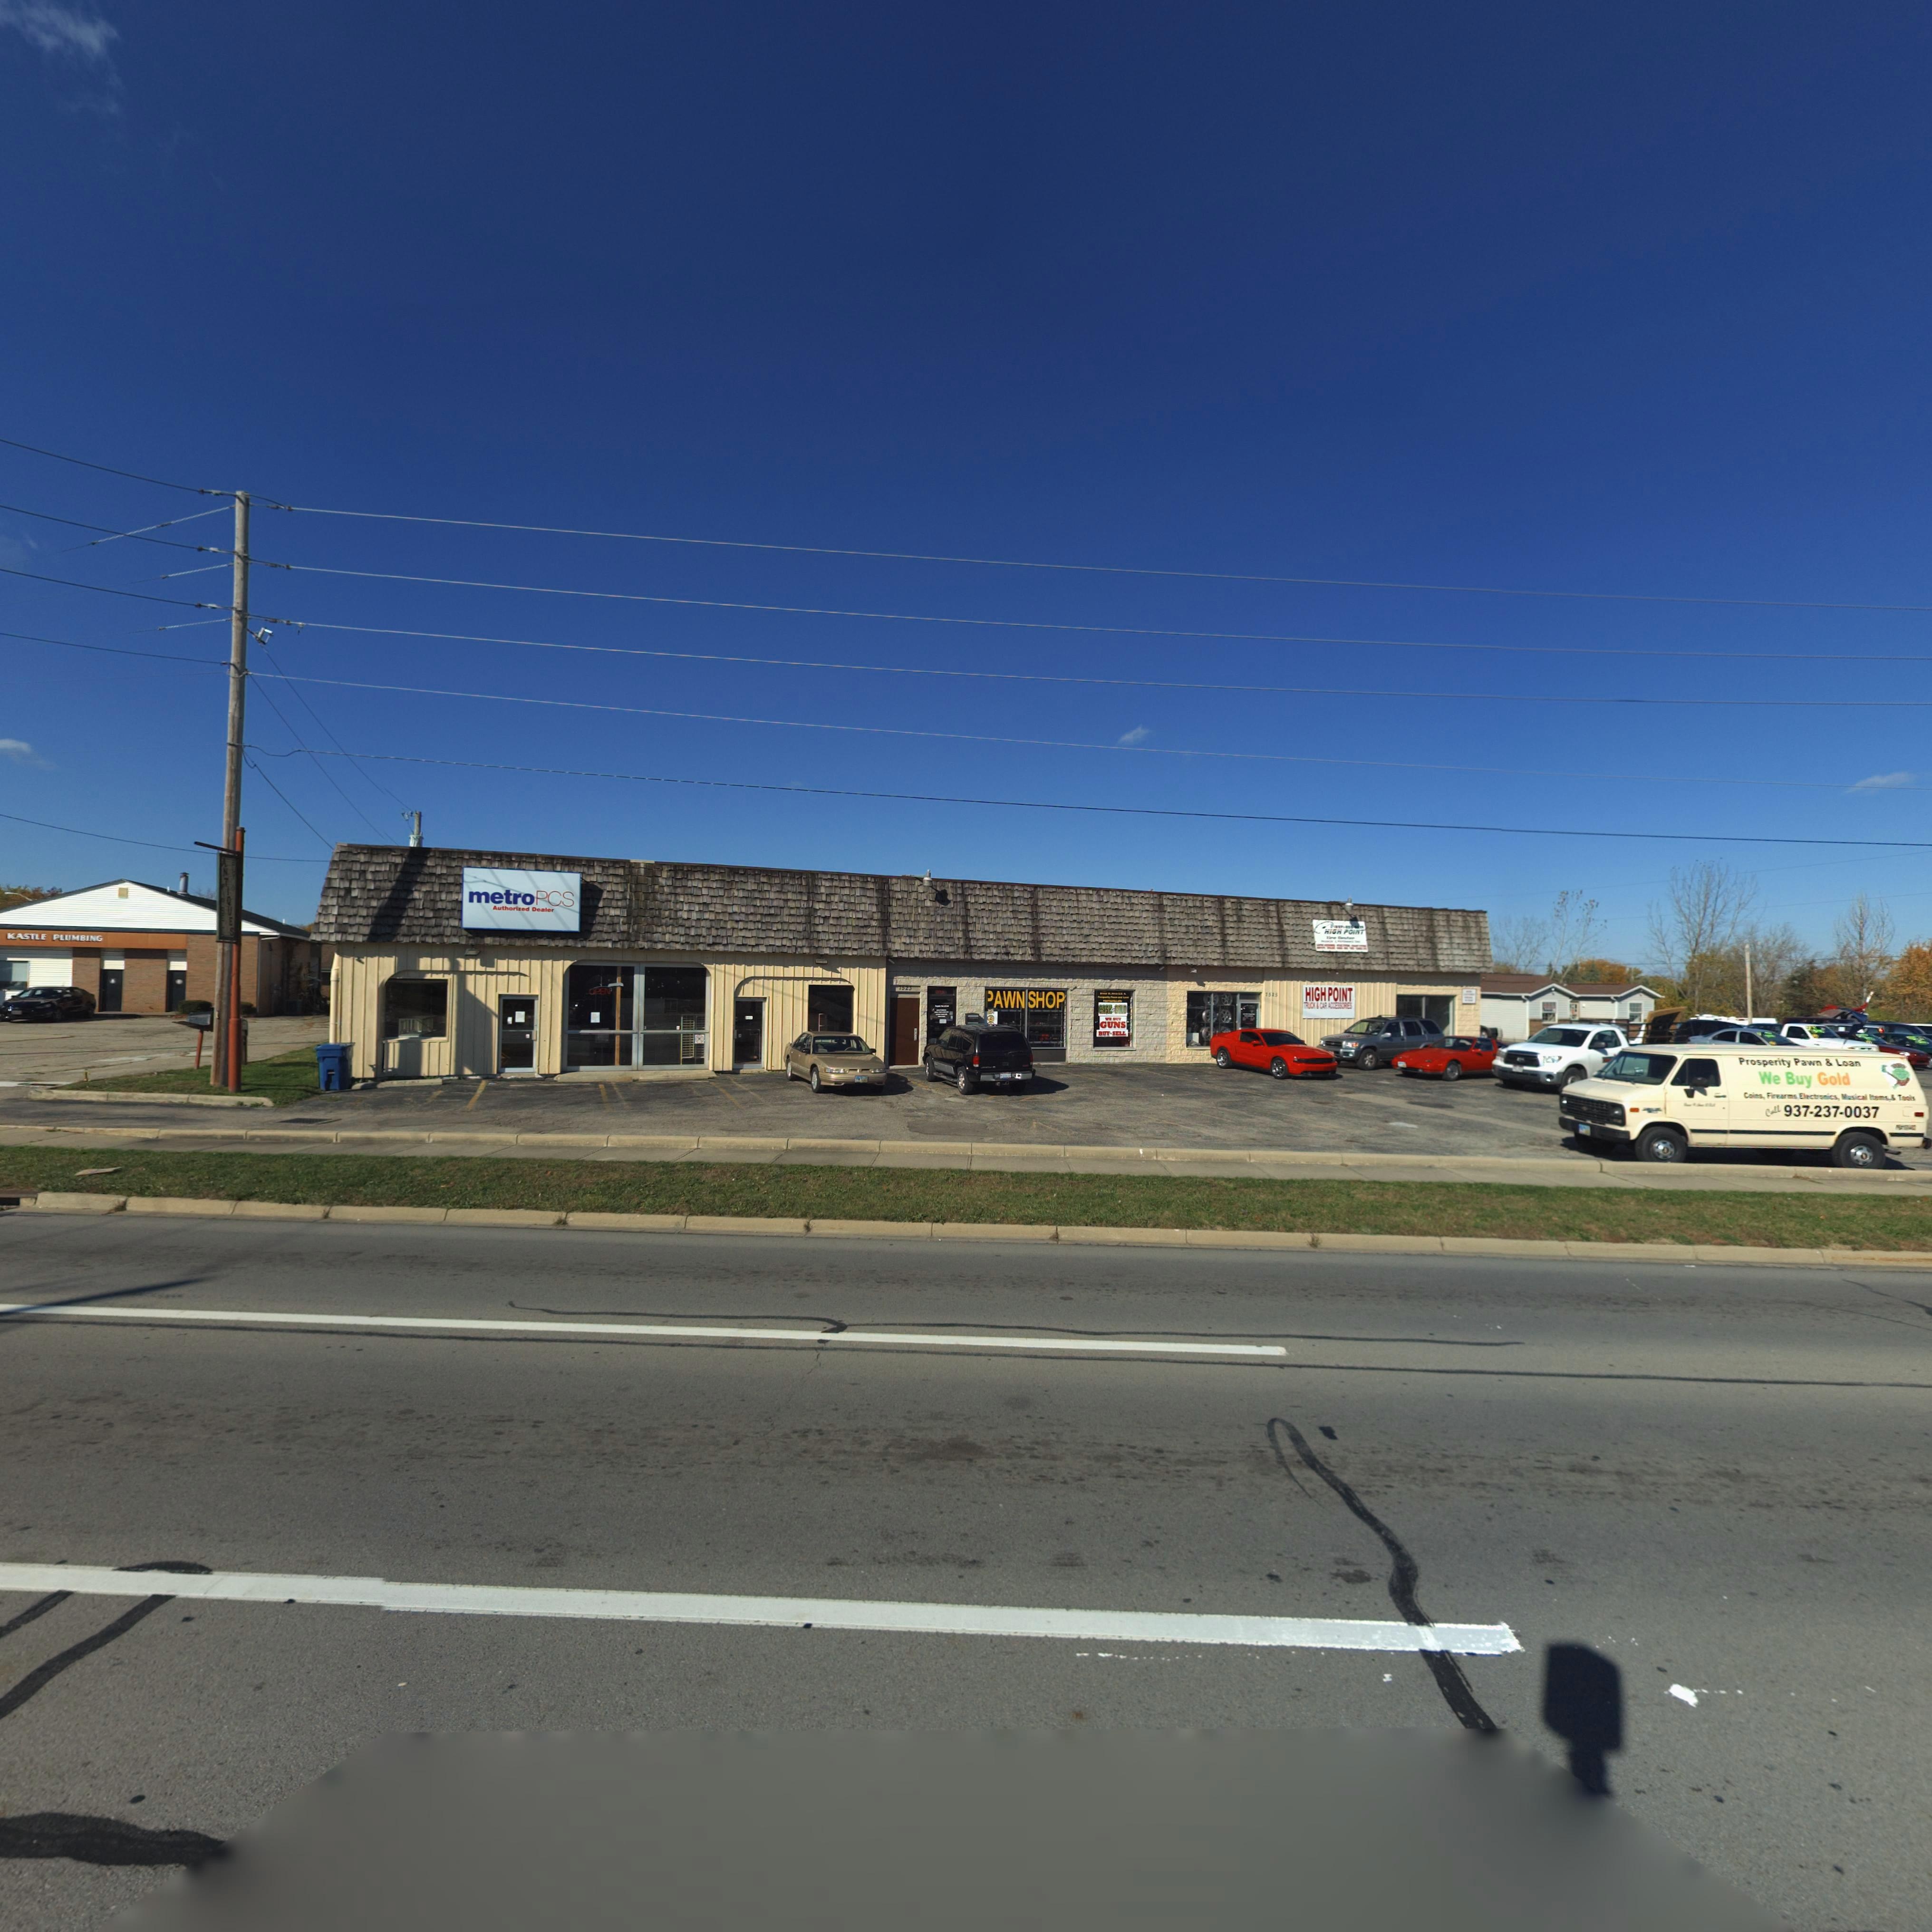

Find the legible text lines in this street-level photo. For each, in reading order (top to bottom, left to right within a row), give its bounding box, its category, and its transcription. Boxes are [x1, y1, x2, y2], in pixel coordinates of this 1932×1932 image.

[468, 889, 576, 908] BusinessName: metroPCS
[1323, 928, 1366, 935] BusinessName: HIGH POINT
[7, 932, 103, 942] BusinessName: KASTLE PLUMBING
[898, 985, 913, 991] StreetNumber: 7523
[1265, 992, 1278, 997] StreetNumber: 75*5
[1304, 986, 1353, 1002] BusinessName: HIGH POINT